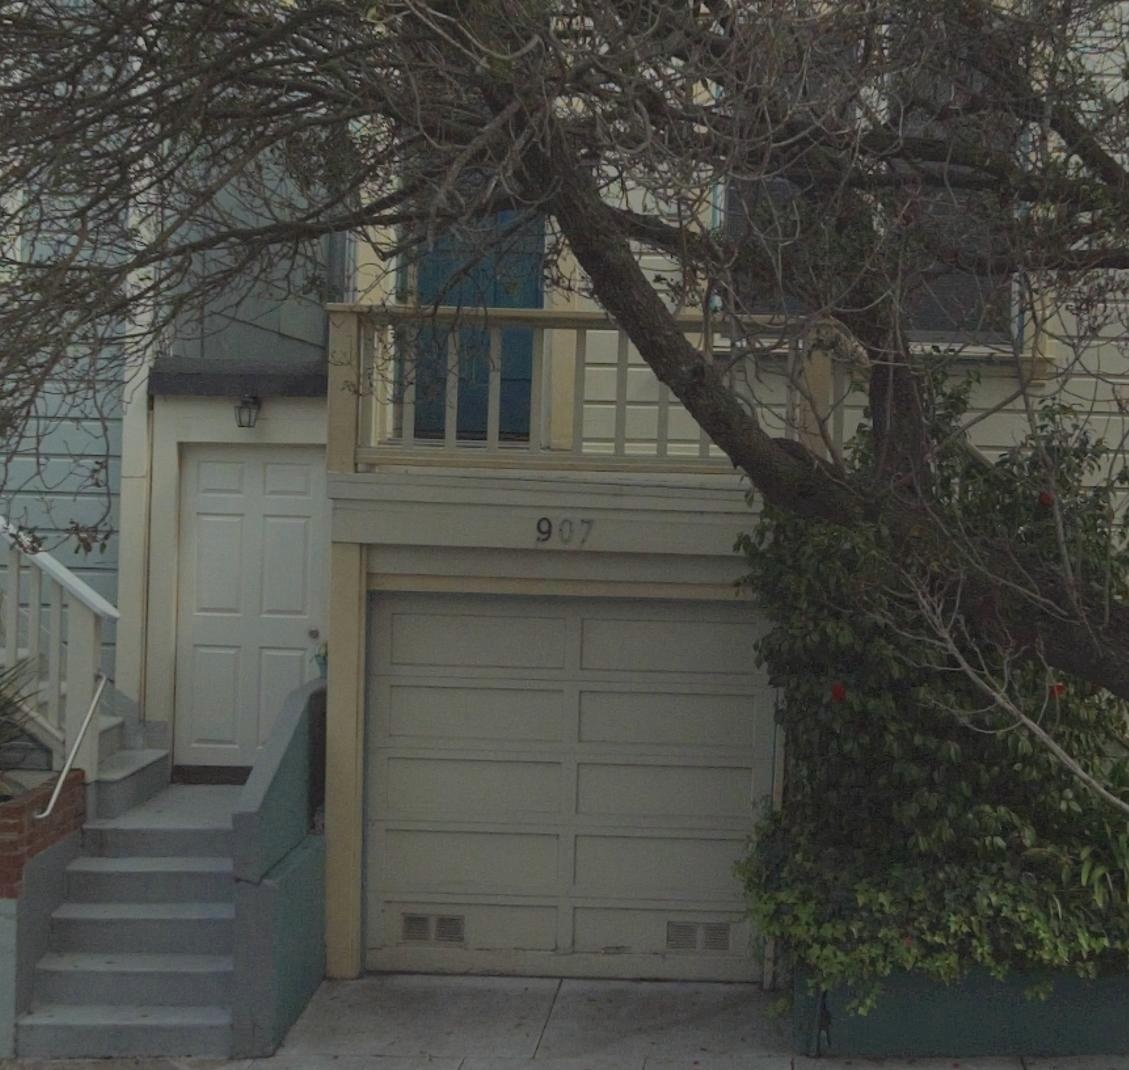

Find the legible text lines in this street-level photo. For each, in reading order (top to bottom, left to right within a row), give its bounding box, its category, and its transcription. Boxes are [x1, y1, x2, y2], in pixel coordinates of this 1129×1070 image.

[534, 515, 597, 546] StreetNumber: 907